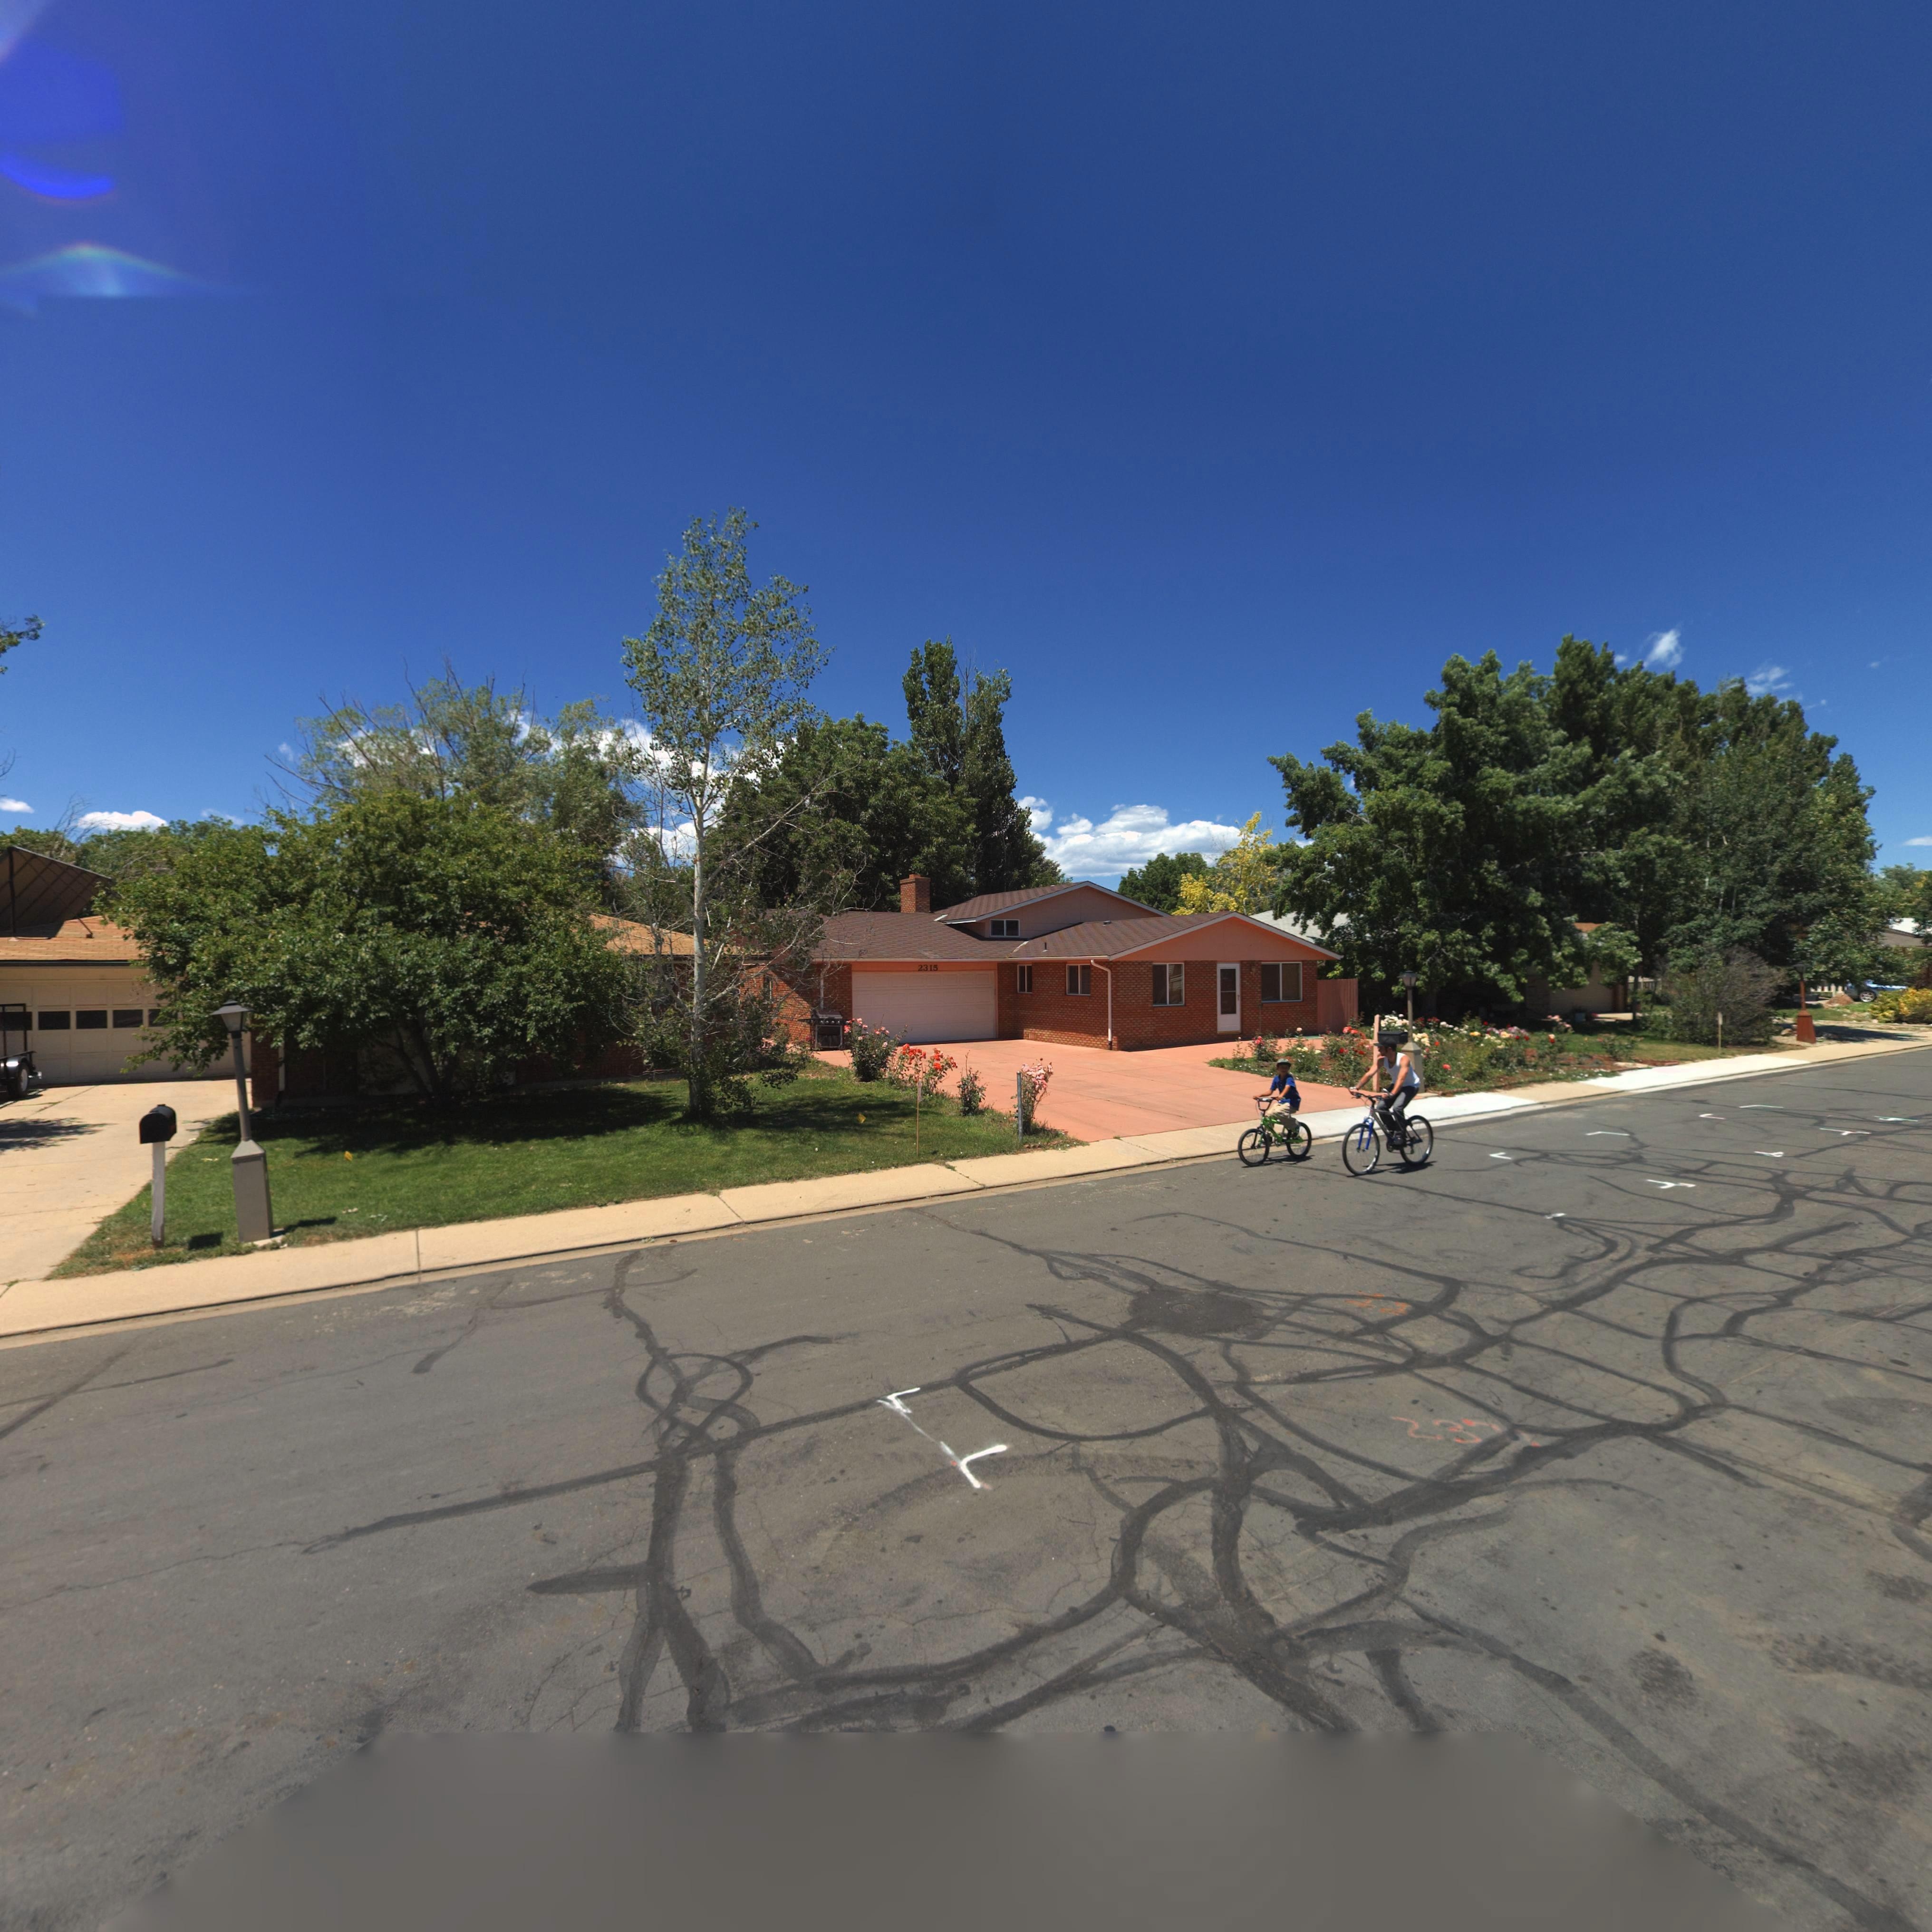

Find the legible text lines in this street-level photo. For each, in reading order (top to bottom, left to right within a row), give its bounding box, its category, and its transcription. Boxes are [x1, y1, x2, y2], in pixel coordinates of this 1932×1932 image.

[917, 964, 938, 971] StreetNumber: 2315